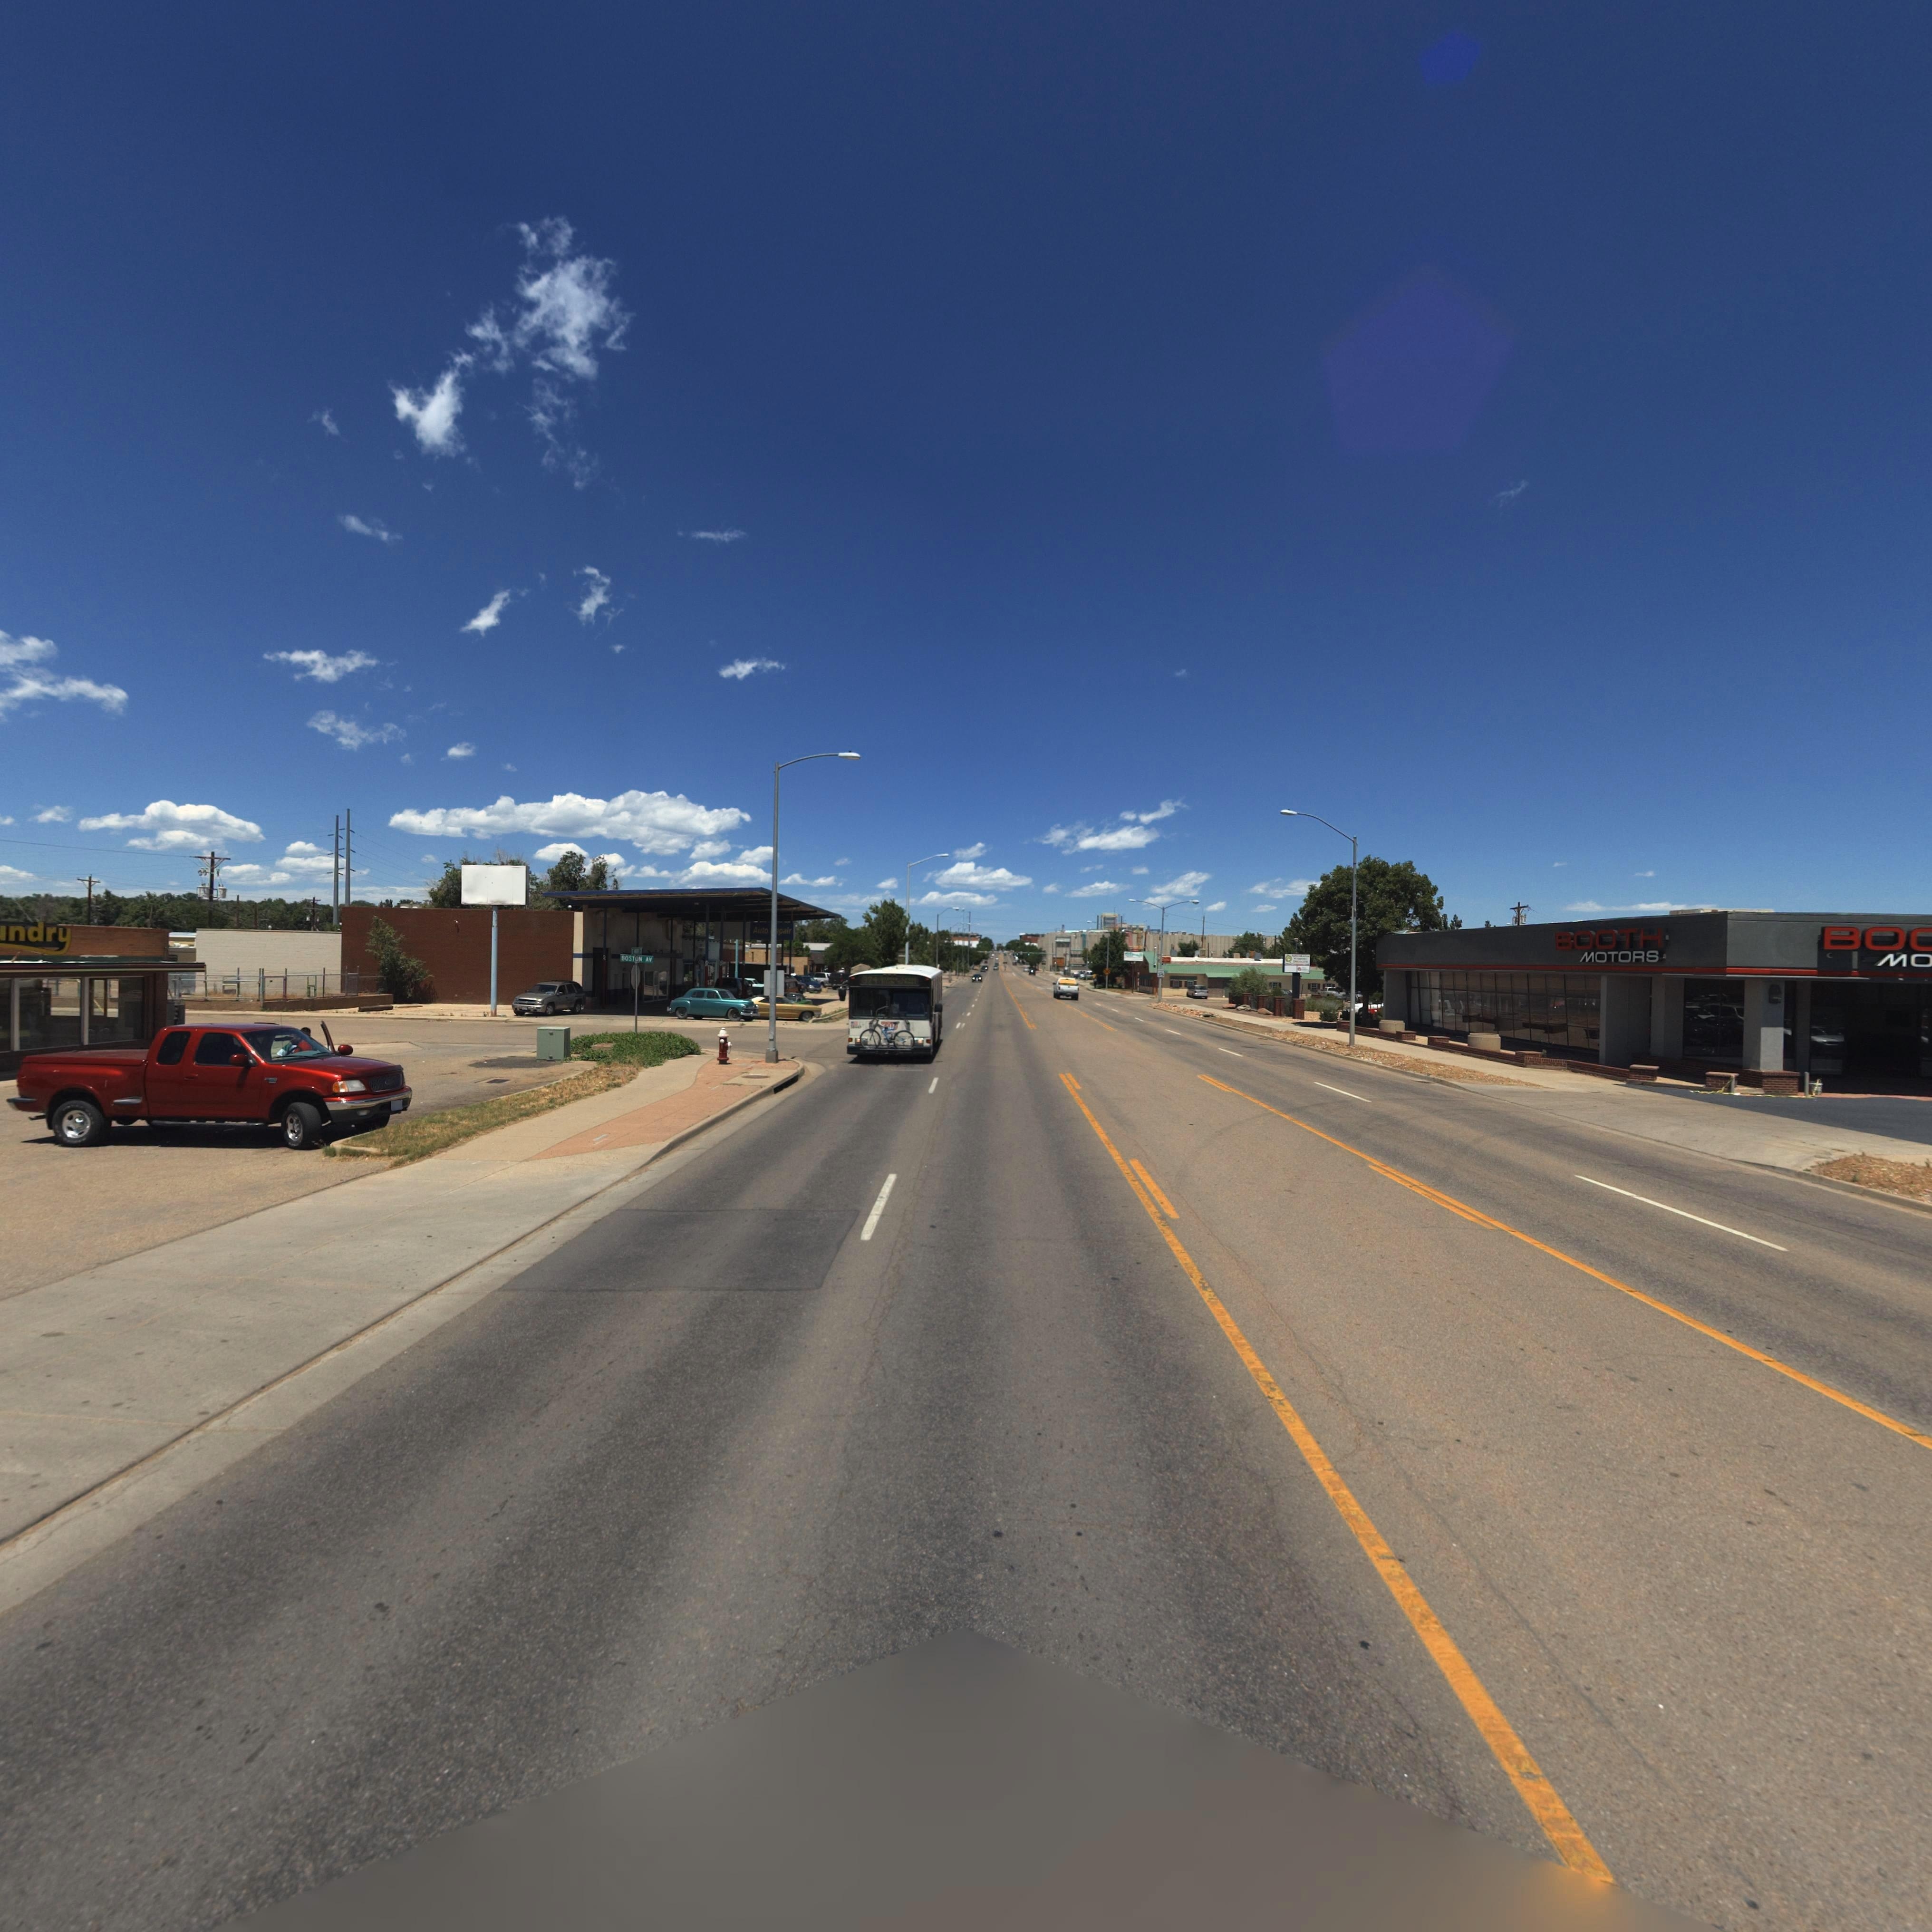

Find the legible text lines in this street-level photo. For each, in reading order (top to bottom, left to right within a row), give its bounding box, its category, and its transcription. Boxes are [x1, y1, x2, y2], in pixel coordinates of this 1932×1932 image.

[7, 919, 73, 957] BusinessName: ndry
[1554, 927, 1662, 951] BusinessName: BOOTH
[1823, 925, 1907, 950] BusinessName: BO
[631, 948, 642, 954] StreetName: E *** ST
[621, 955, 652, 962] StreetName: BOSTON AV
[1292, 959, 1309, 963] BusinessName: ******S
[1579, 950, 1659, 962] BusinessName: MOTORS
[1875, 953, 1907, 968] BusinessName: M